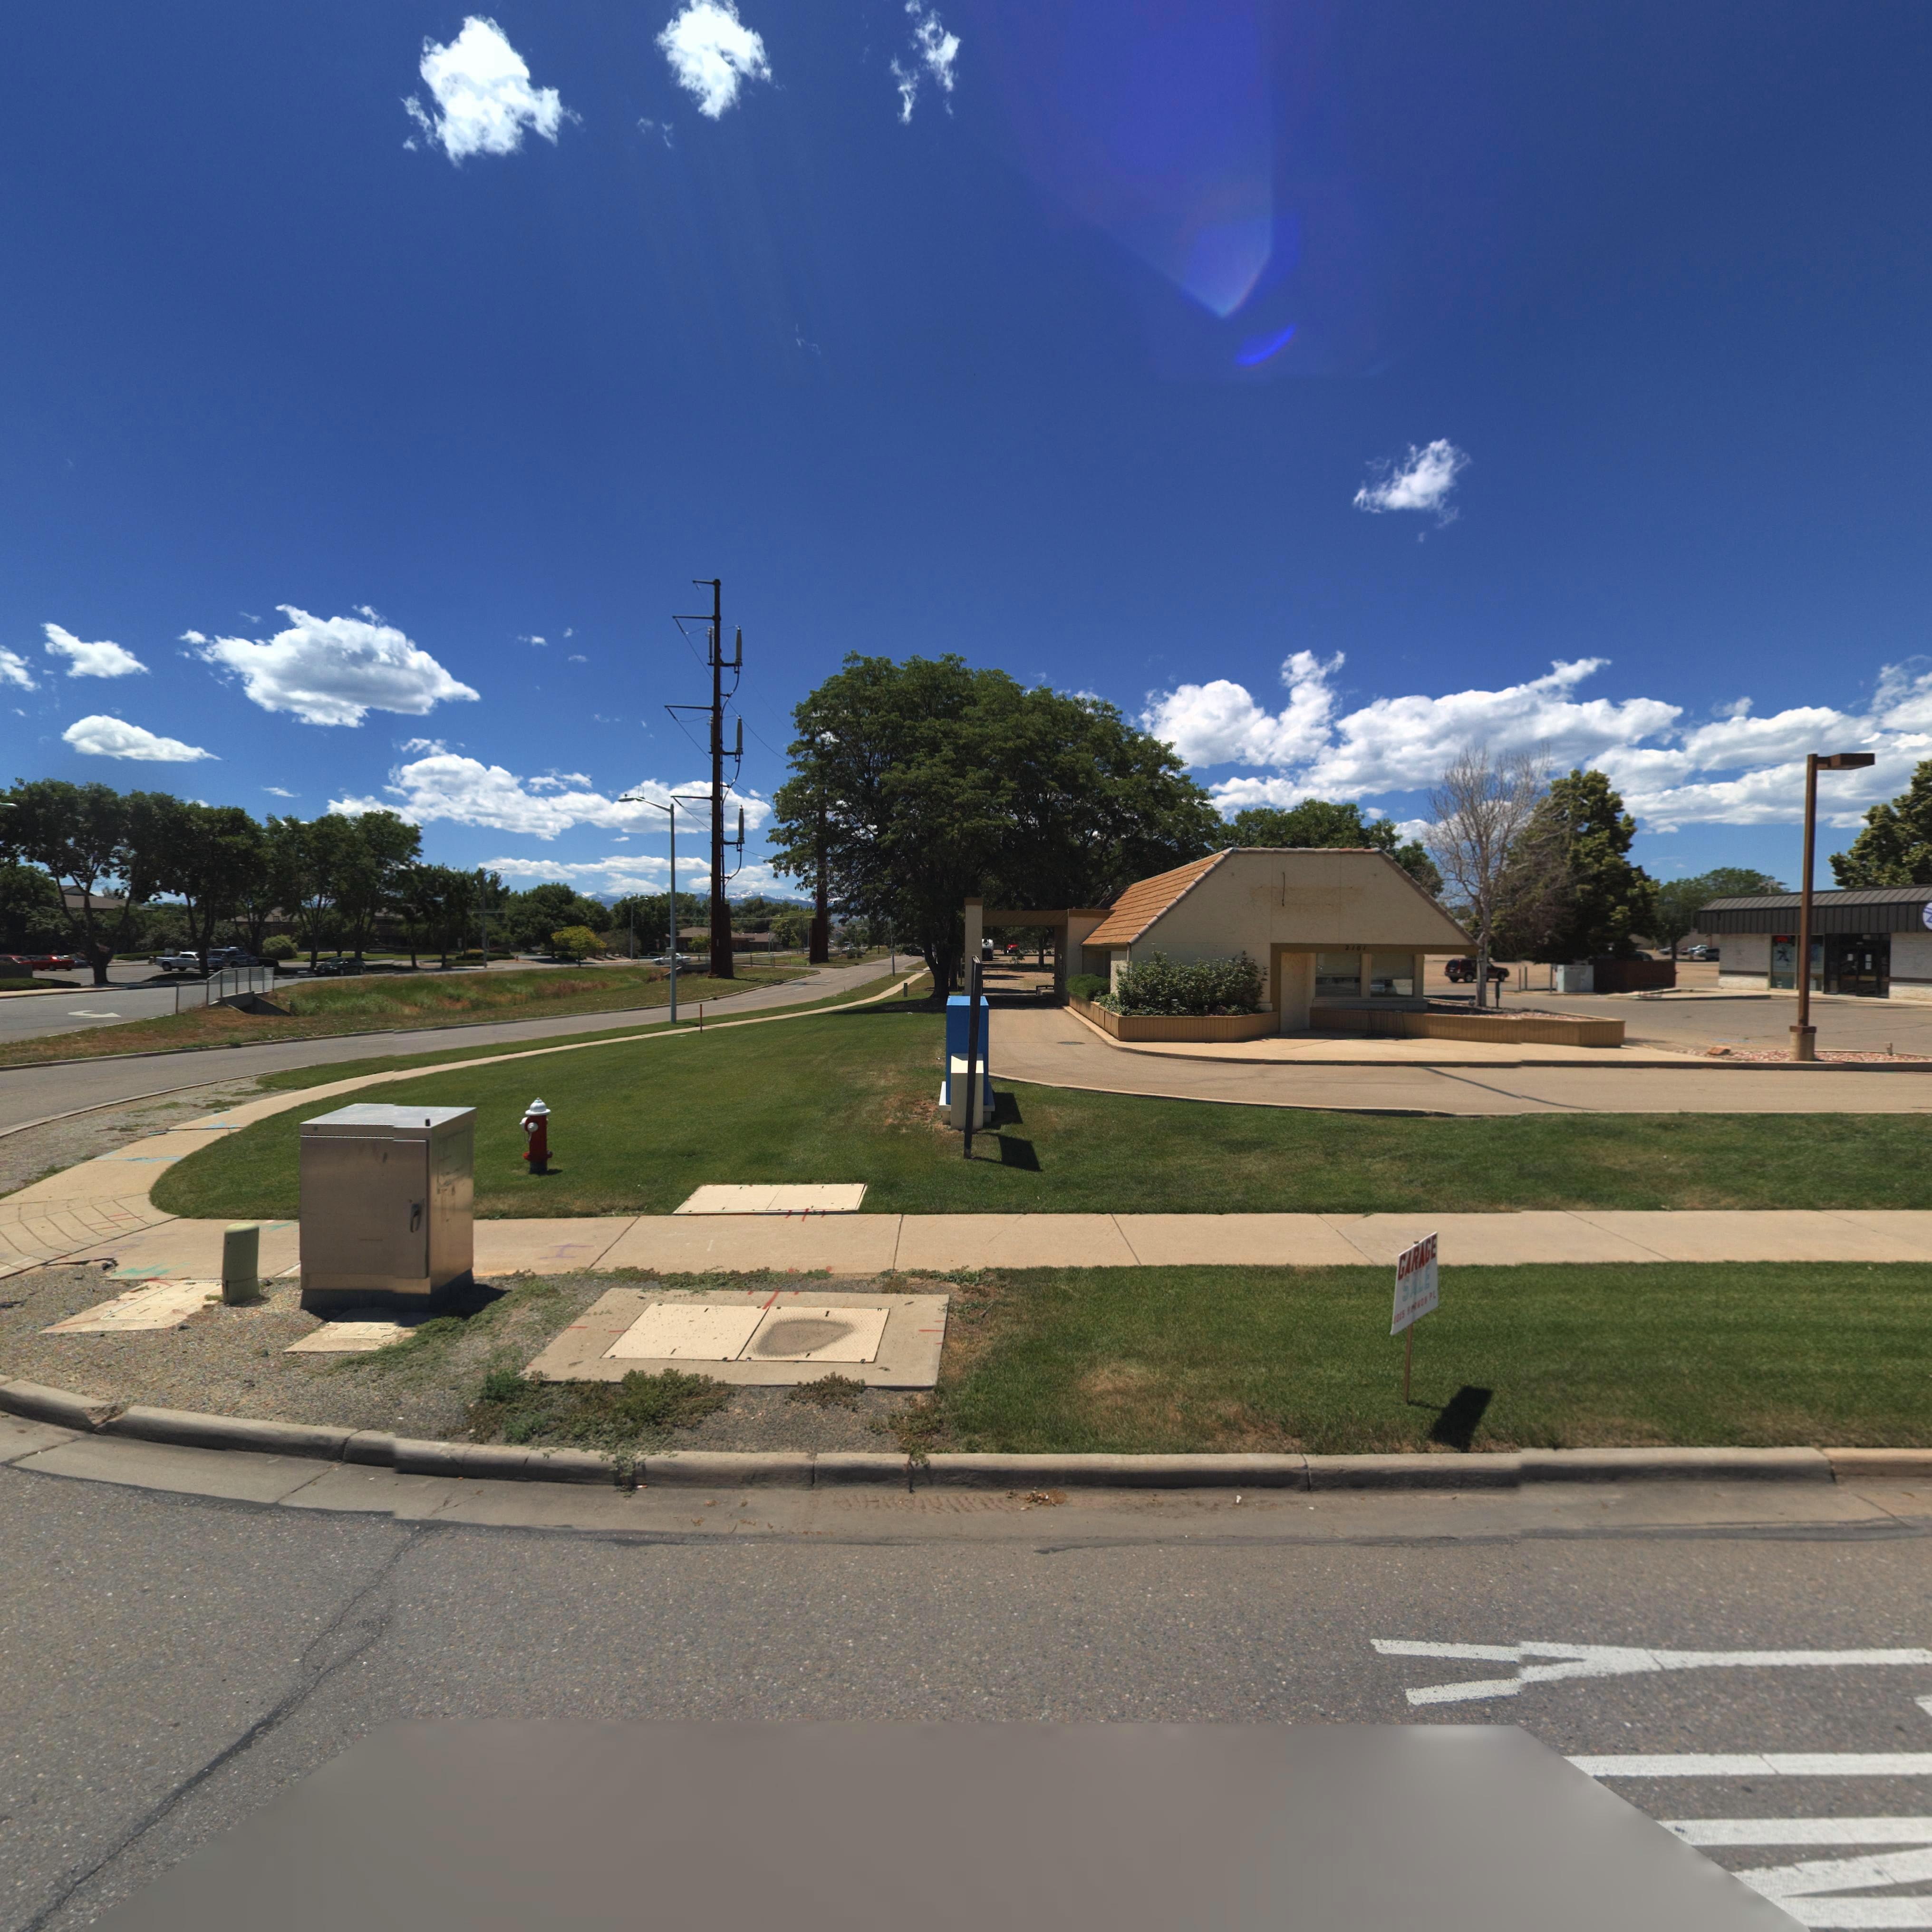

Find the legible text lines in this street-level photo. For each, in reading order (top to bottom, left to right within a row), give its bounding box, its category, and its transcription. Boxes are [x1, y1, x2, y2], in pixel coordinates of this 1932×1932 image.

[1344, 944, 1366, 951] StreetNumber: 2101